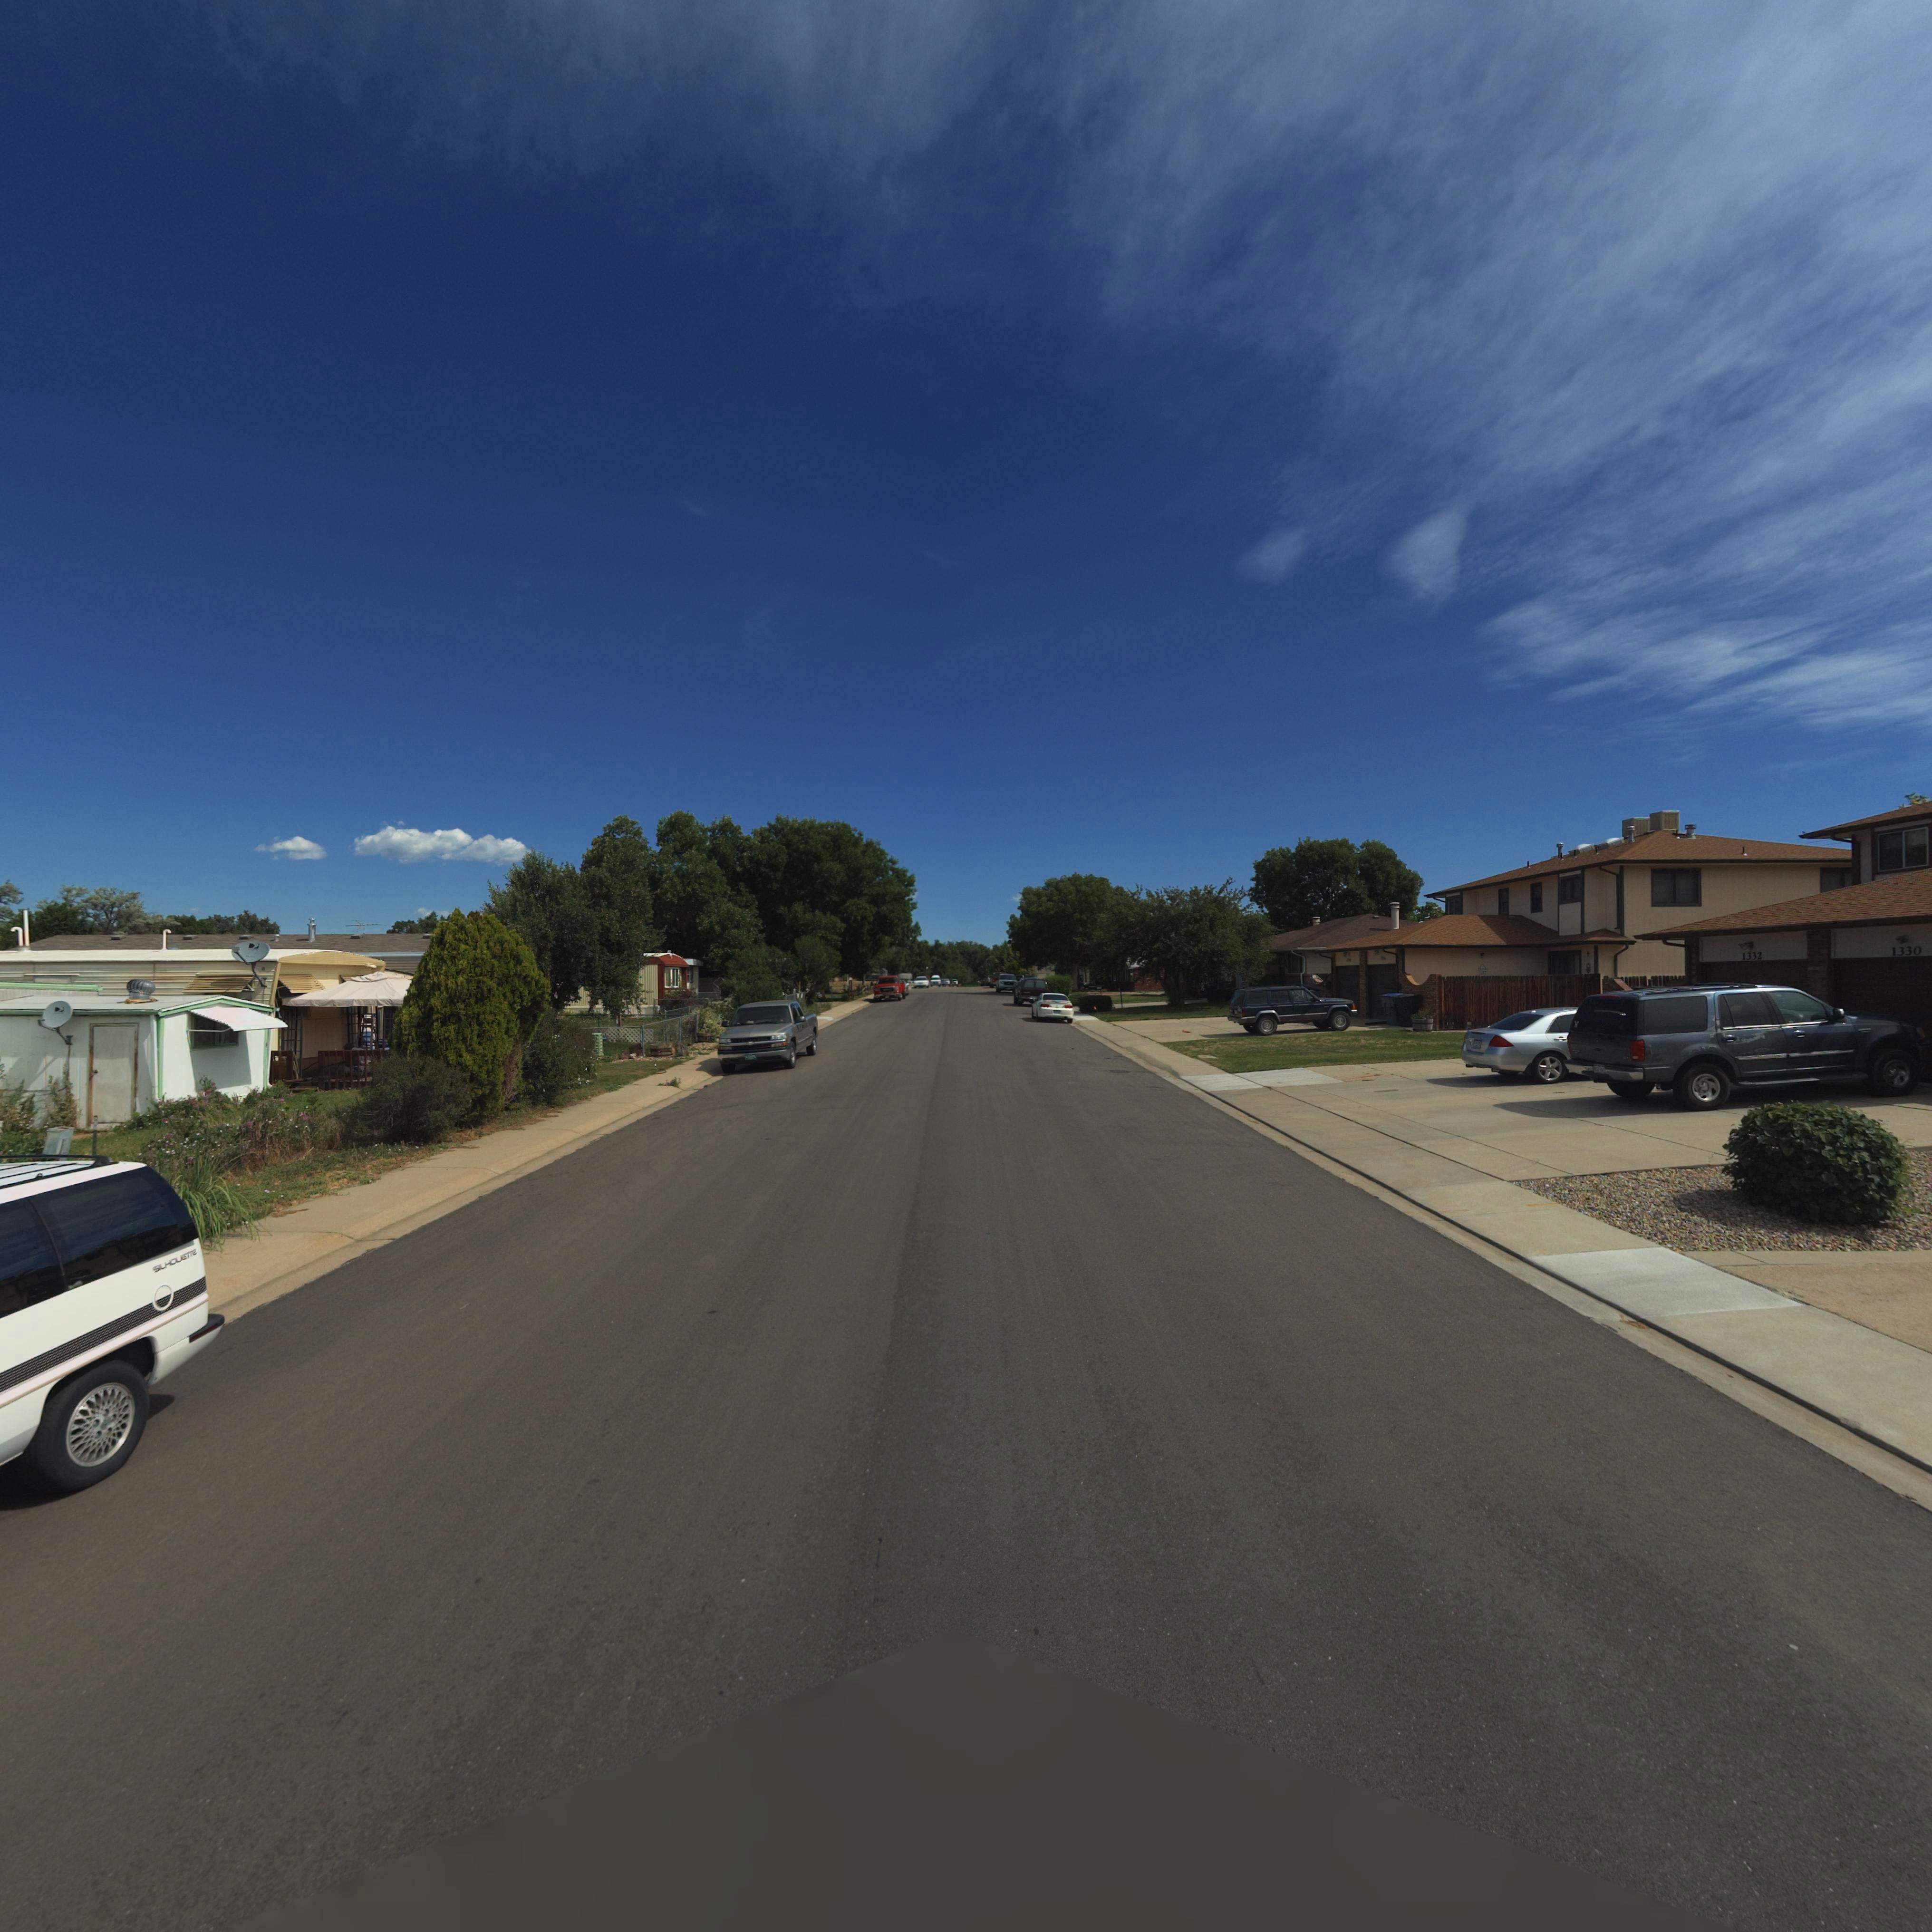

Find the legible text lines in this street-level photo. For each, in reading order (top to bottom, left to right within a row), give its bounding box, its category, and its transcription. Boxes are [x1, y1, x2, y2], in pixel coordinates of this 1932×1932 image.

[1742, 951, 1762, 960] StreetNumber: 1332
[1892, 946, 1922, 956] StreetNumber: 1330